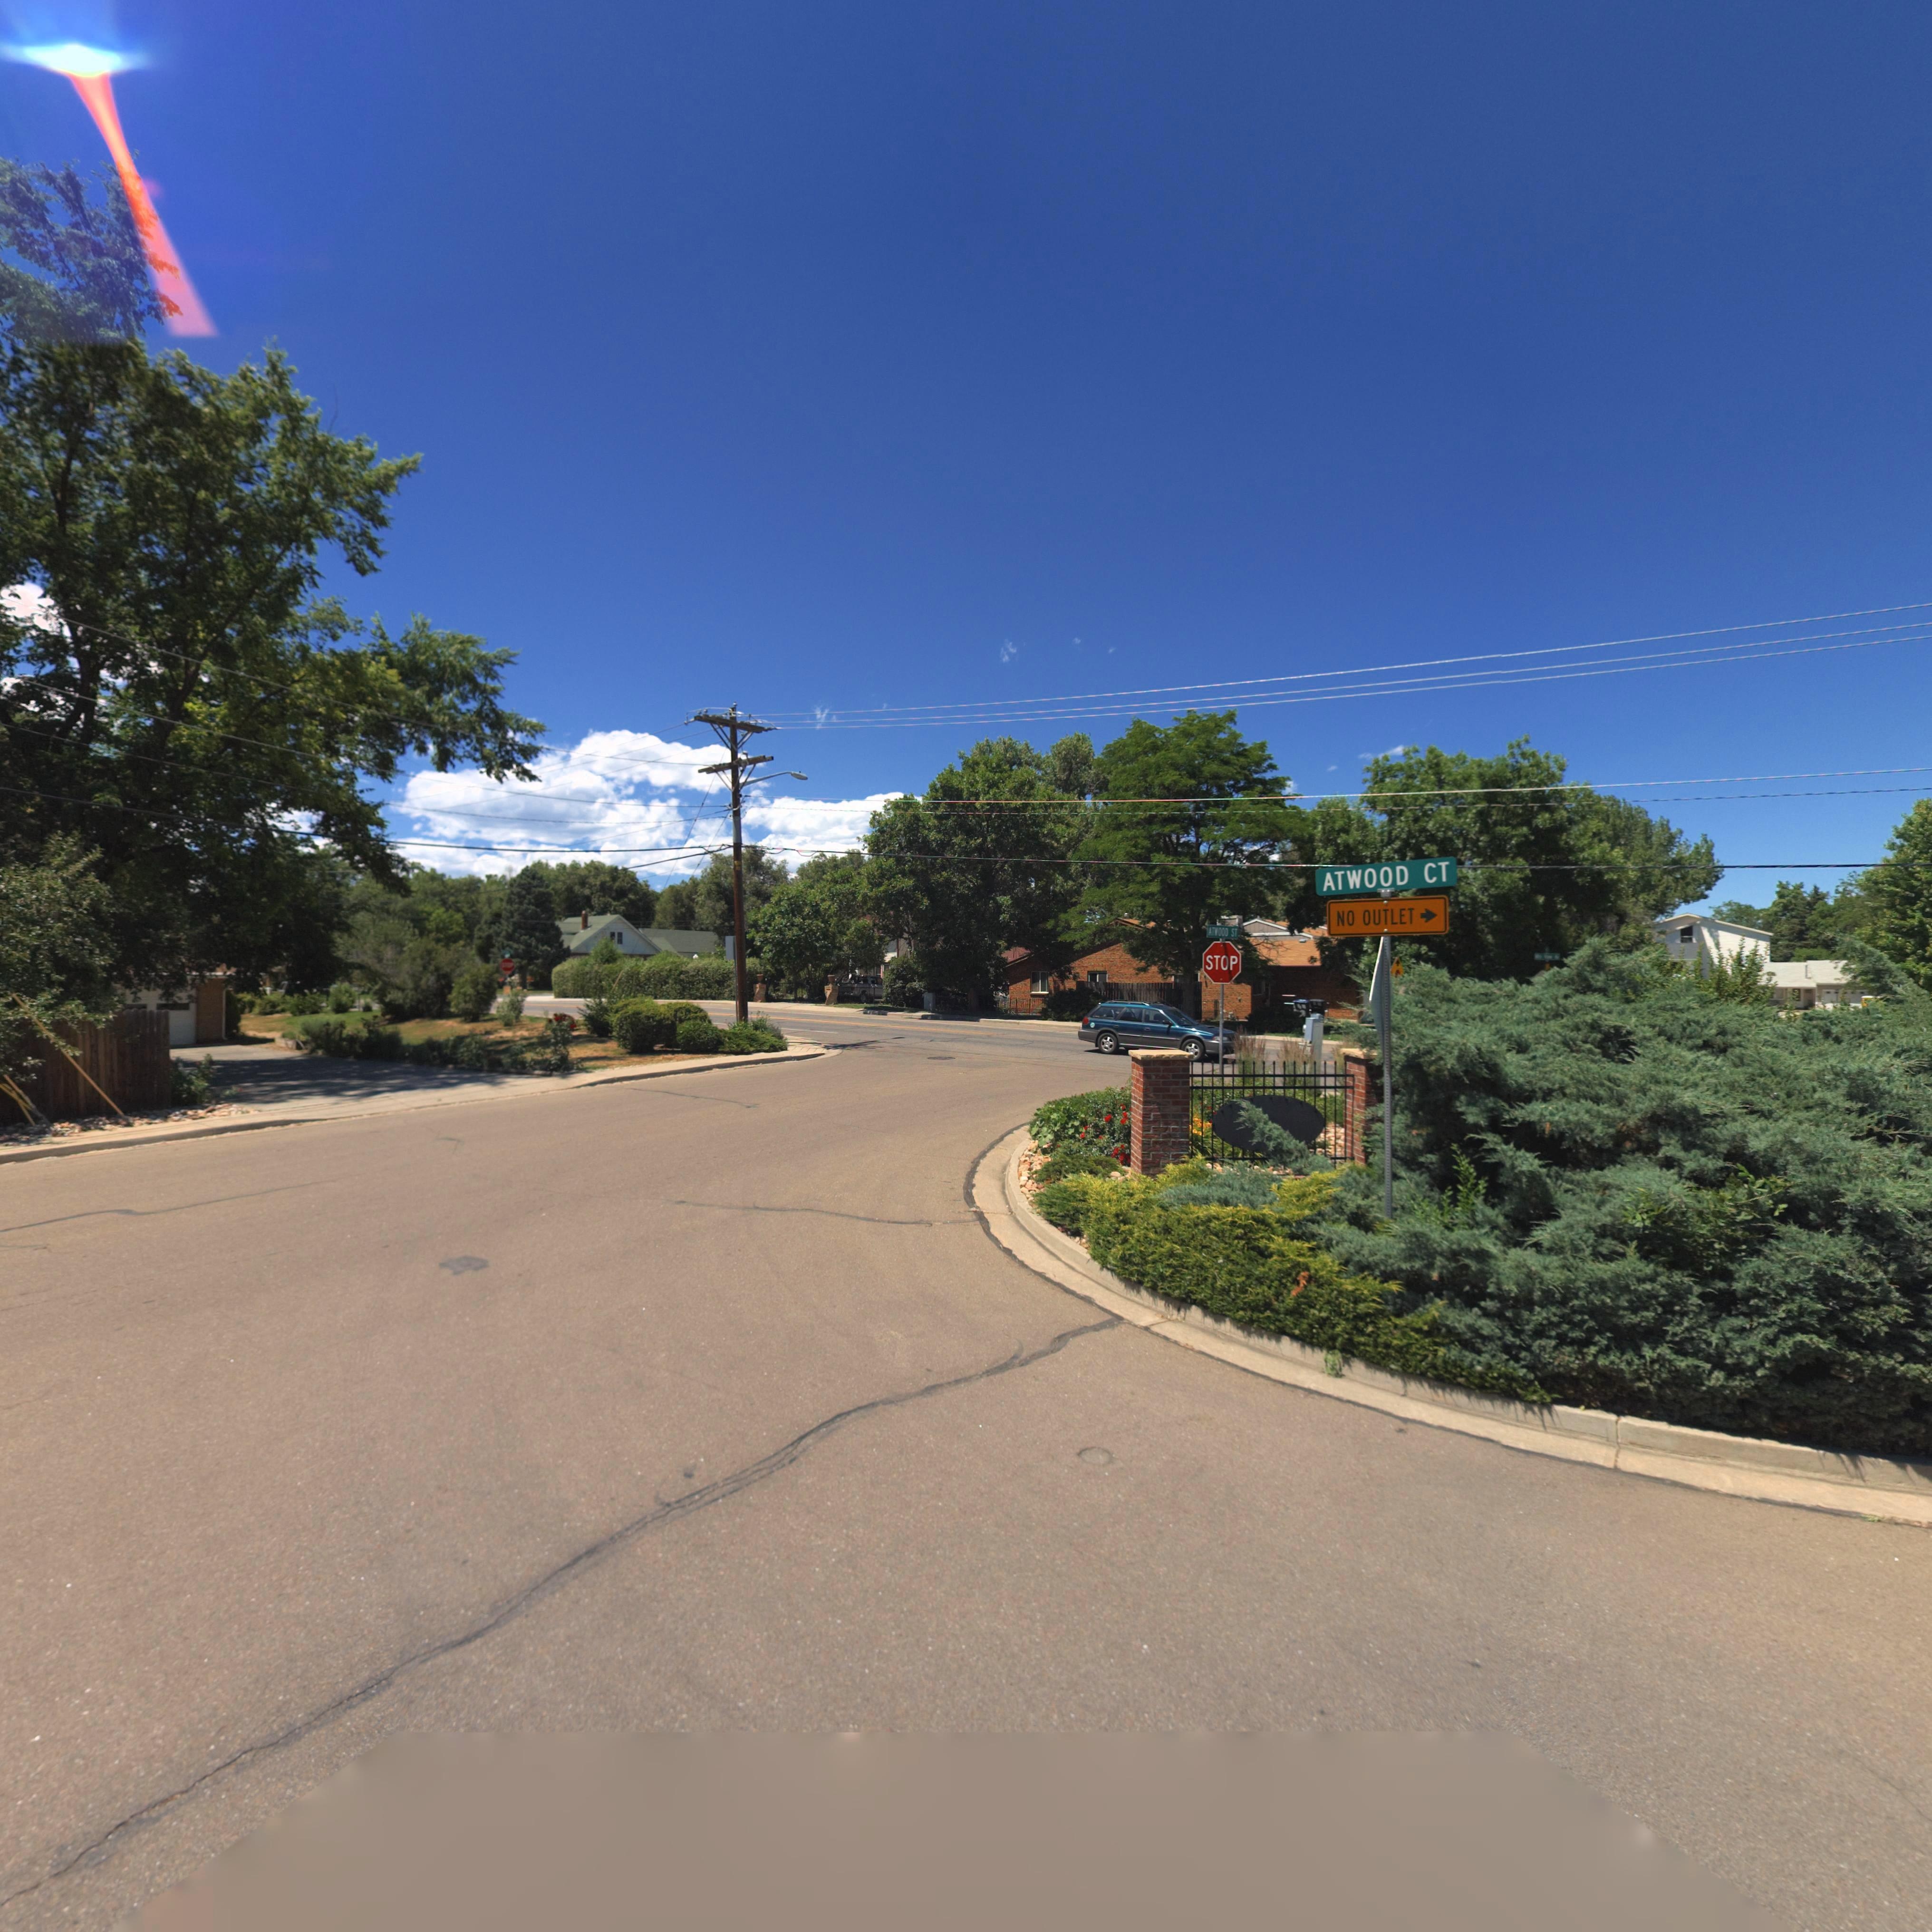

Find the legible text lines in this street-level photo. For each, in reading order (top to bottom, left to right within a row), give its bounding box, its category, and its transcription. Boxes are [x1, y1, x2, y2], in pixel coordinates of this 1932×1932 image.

[1322, 861, 1449, 891] StreetName: ATWOOD CT
[1207, 926, 1237, 937] StreetName: ATWOOD ST
[1534, 953, 1560, 959] StreetName: Mtn View Av